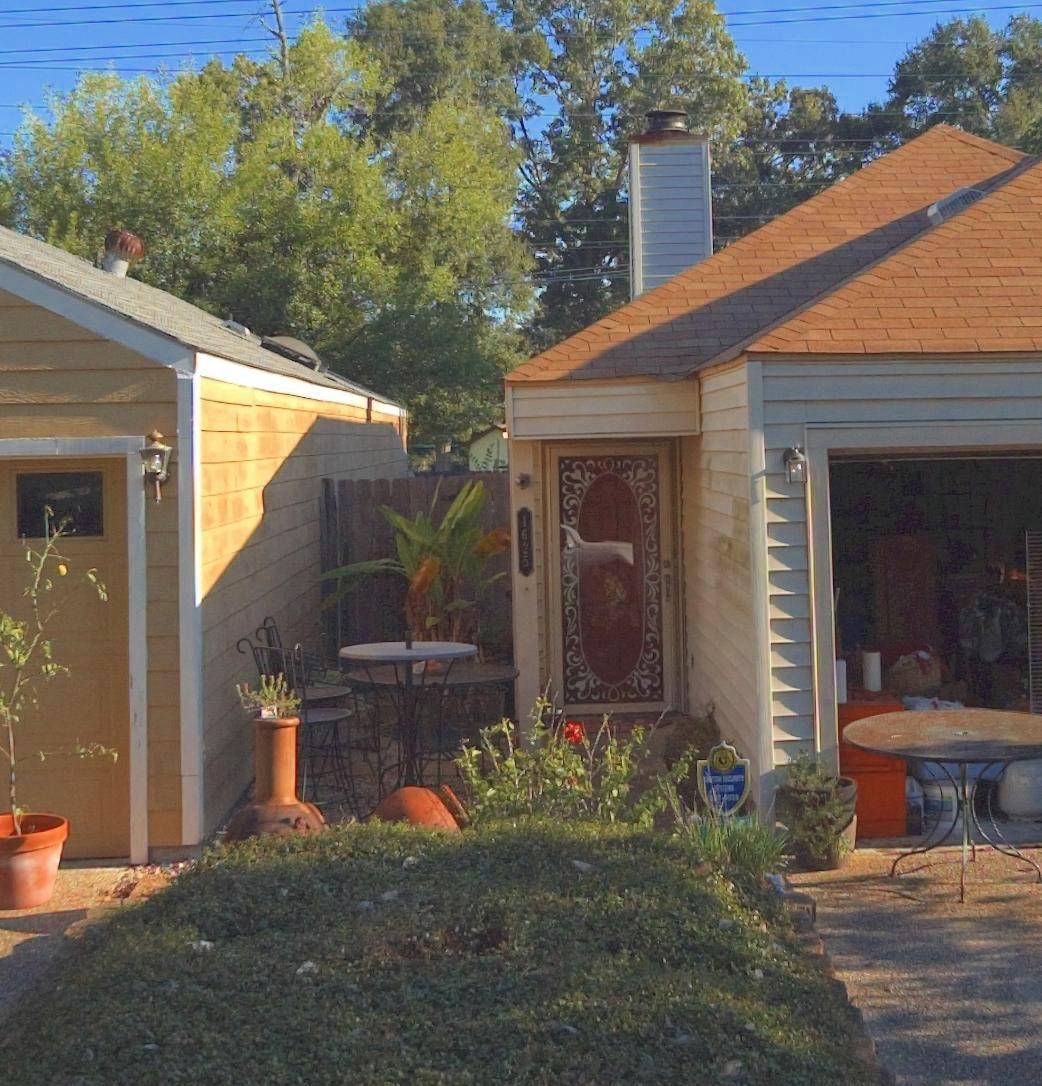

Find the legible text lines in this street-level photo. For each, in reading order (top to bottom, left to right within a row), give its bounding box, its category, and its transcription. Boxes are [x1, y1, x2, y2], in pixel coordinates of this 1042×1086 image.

[519, 512, 532, 570] StreetNumber: 1625